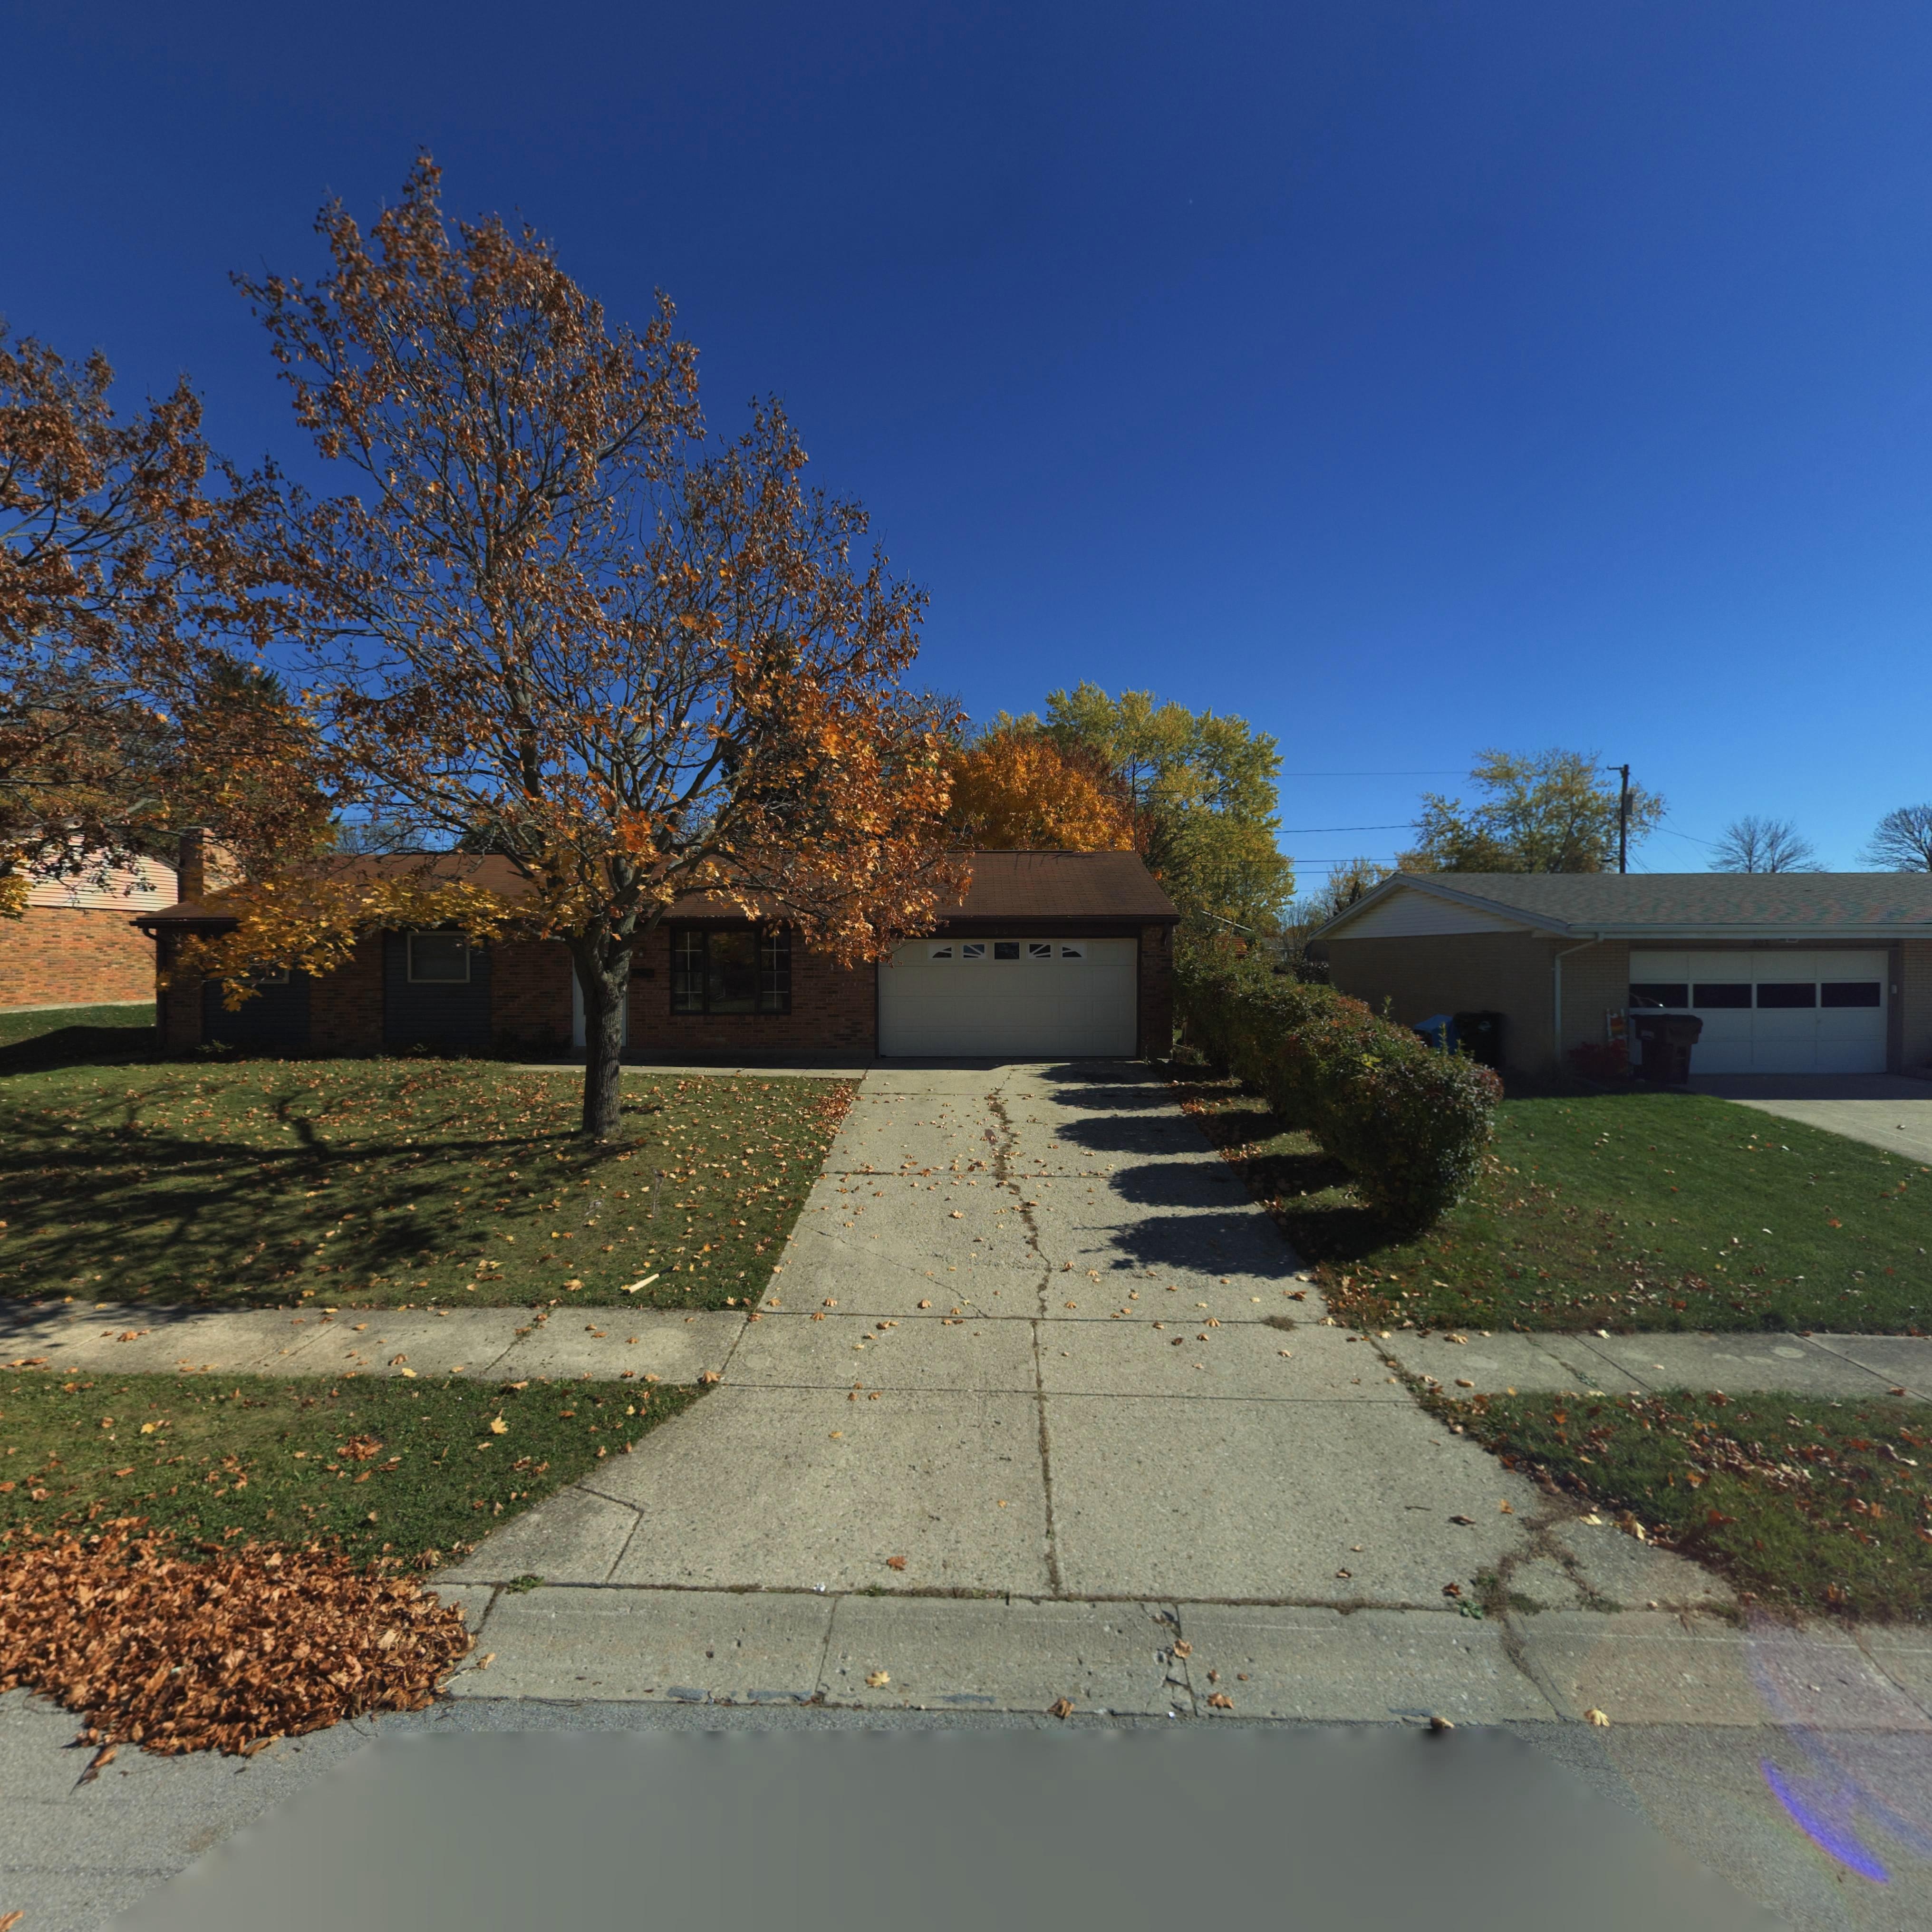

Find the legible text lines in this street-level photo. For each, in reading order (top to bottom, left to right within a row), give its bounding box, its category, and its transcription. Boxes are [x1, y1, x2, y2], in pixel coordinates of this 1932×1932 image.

[993, 927, 1020, 935] StreetNumber: 305